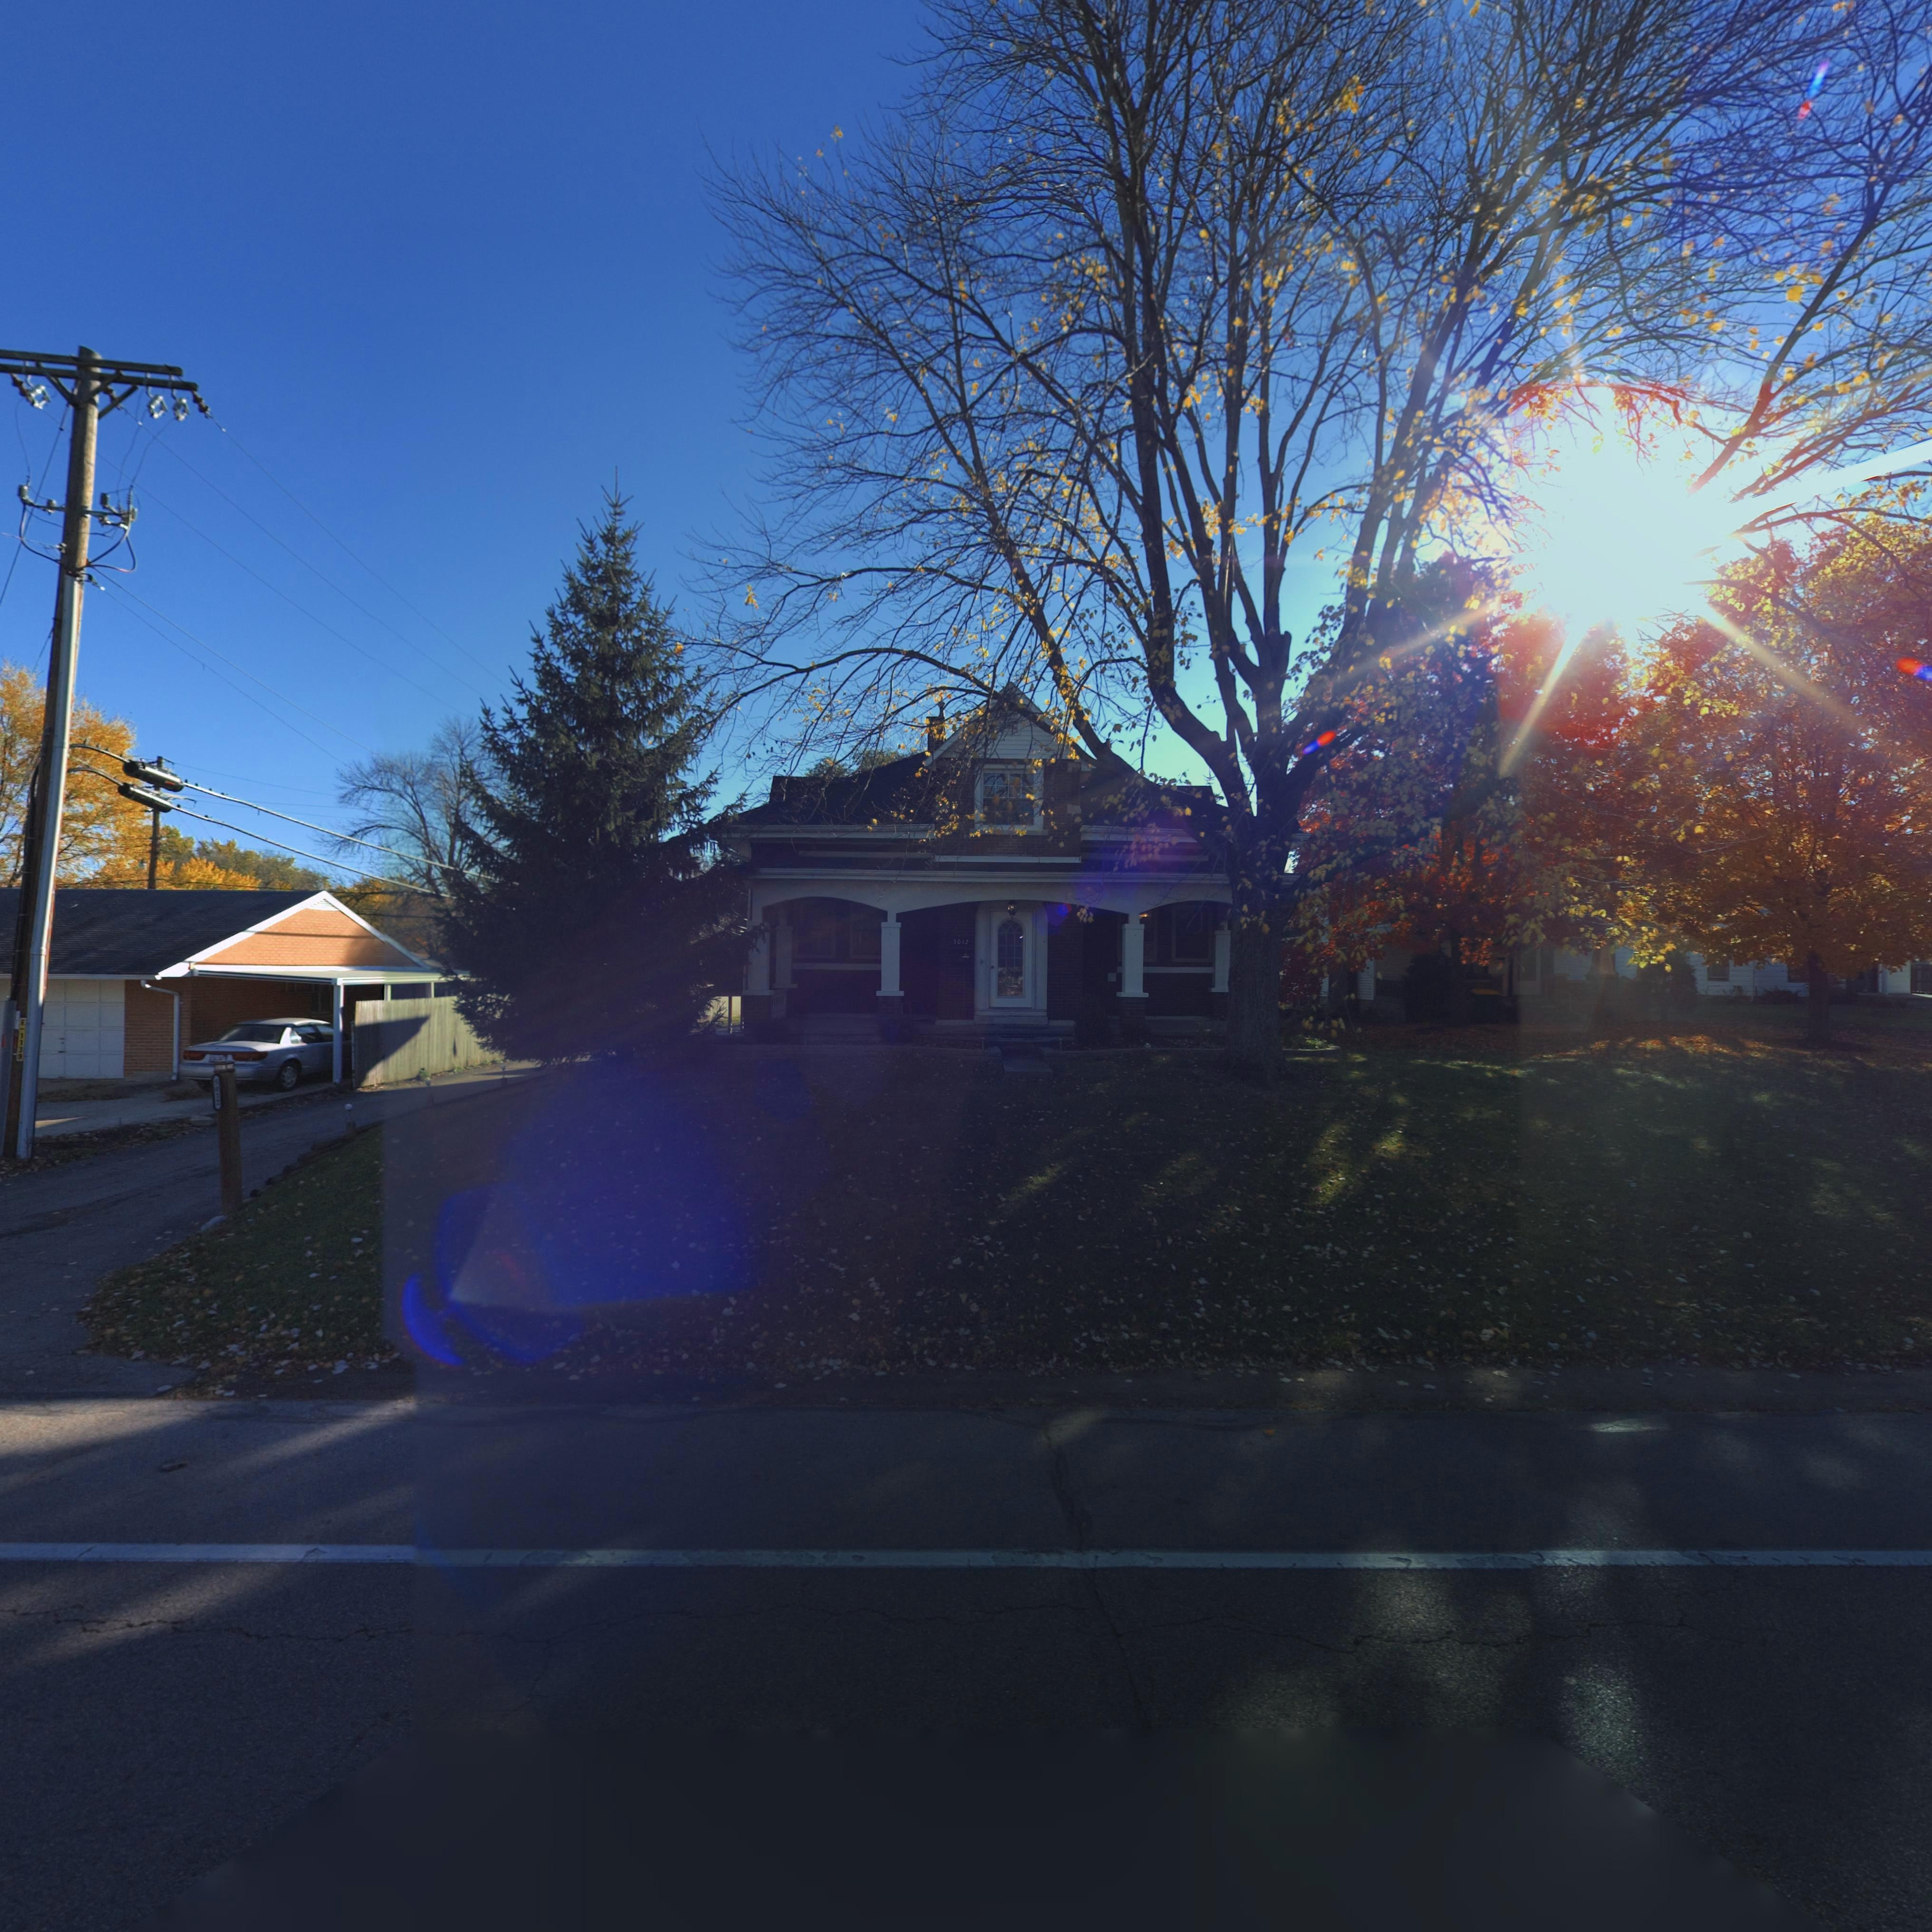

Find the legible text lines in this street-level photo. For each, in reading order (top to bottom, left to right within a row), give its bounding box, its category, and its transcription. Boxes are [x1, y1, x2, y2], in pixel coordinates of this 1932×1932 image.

[953, 938, 969, 945] StreetNumber: 5012